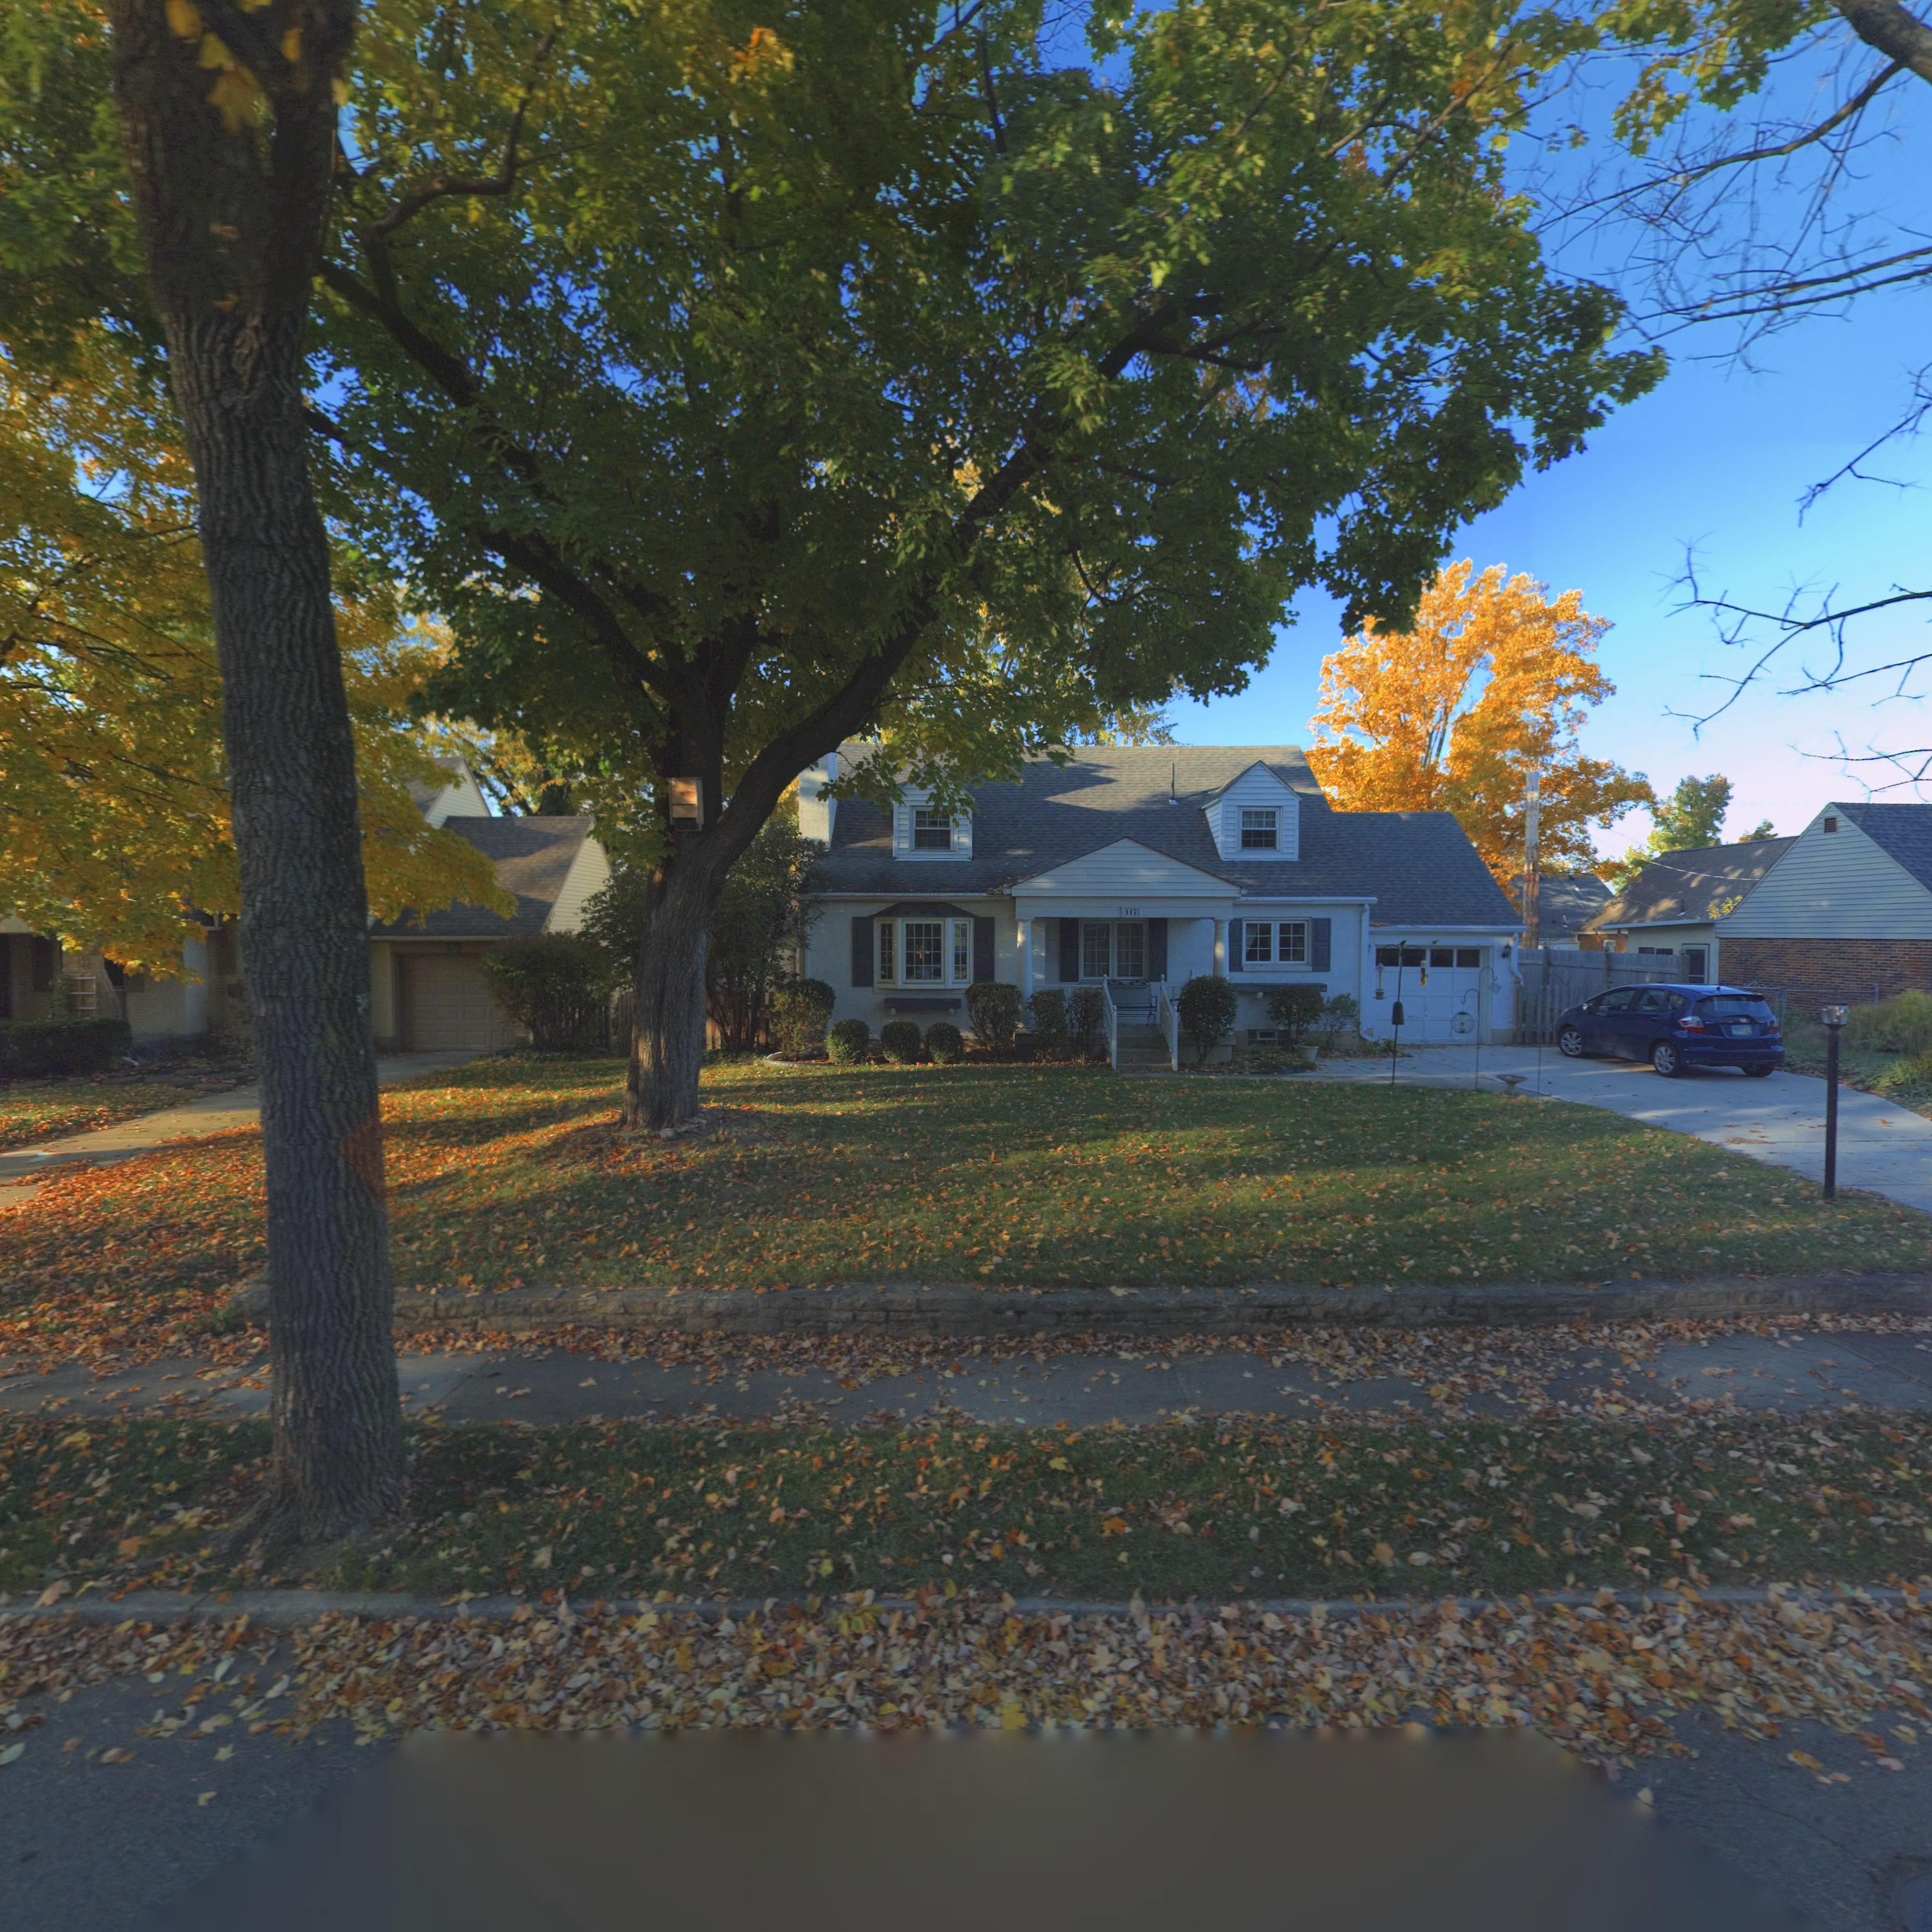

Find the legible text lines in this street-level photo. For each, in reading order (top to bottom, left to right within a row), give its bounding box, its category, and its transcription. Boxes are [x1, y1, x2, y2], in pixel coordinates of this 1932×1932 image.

[1125, 909, 1138, 916] StreetNumber: 117